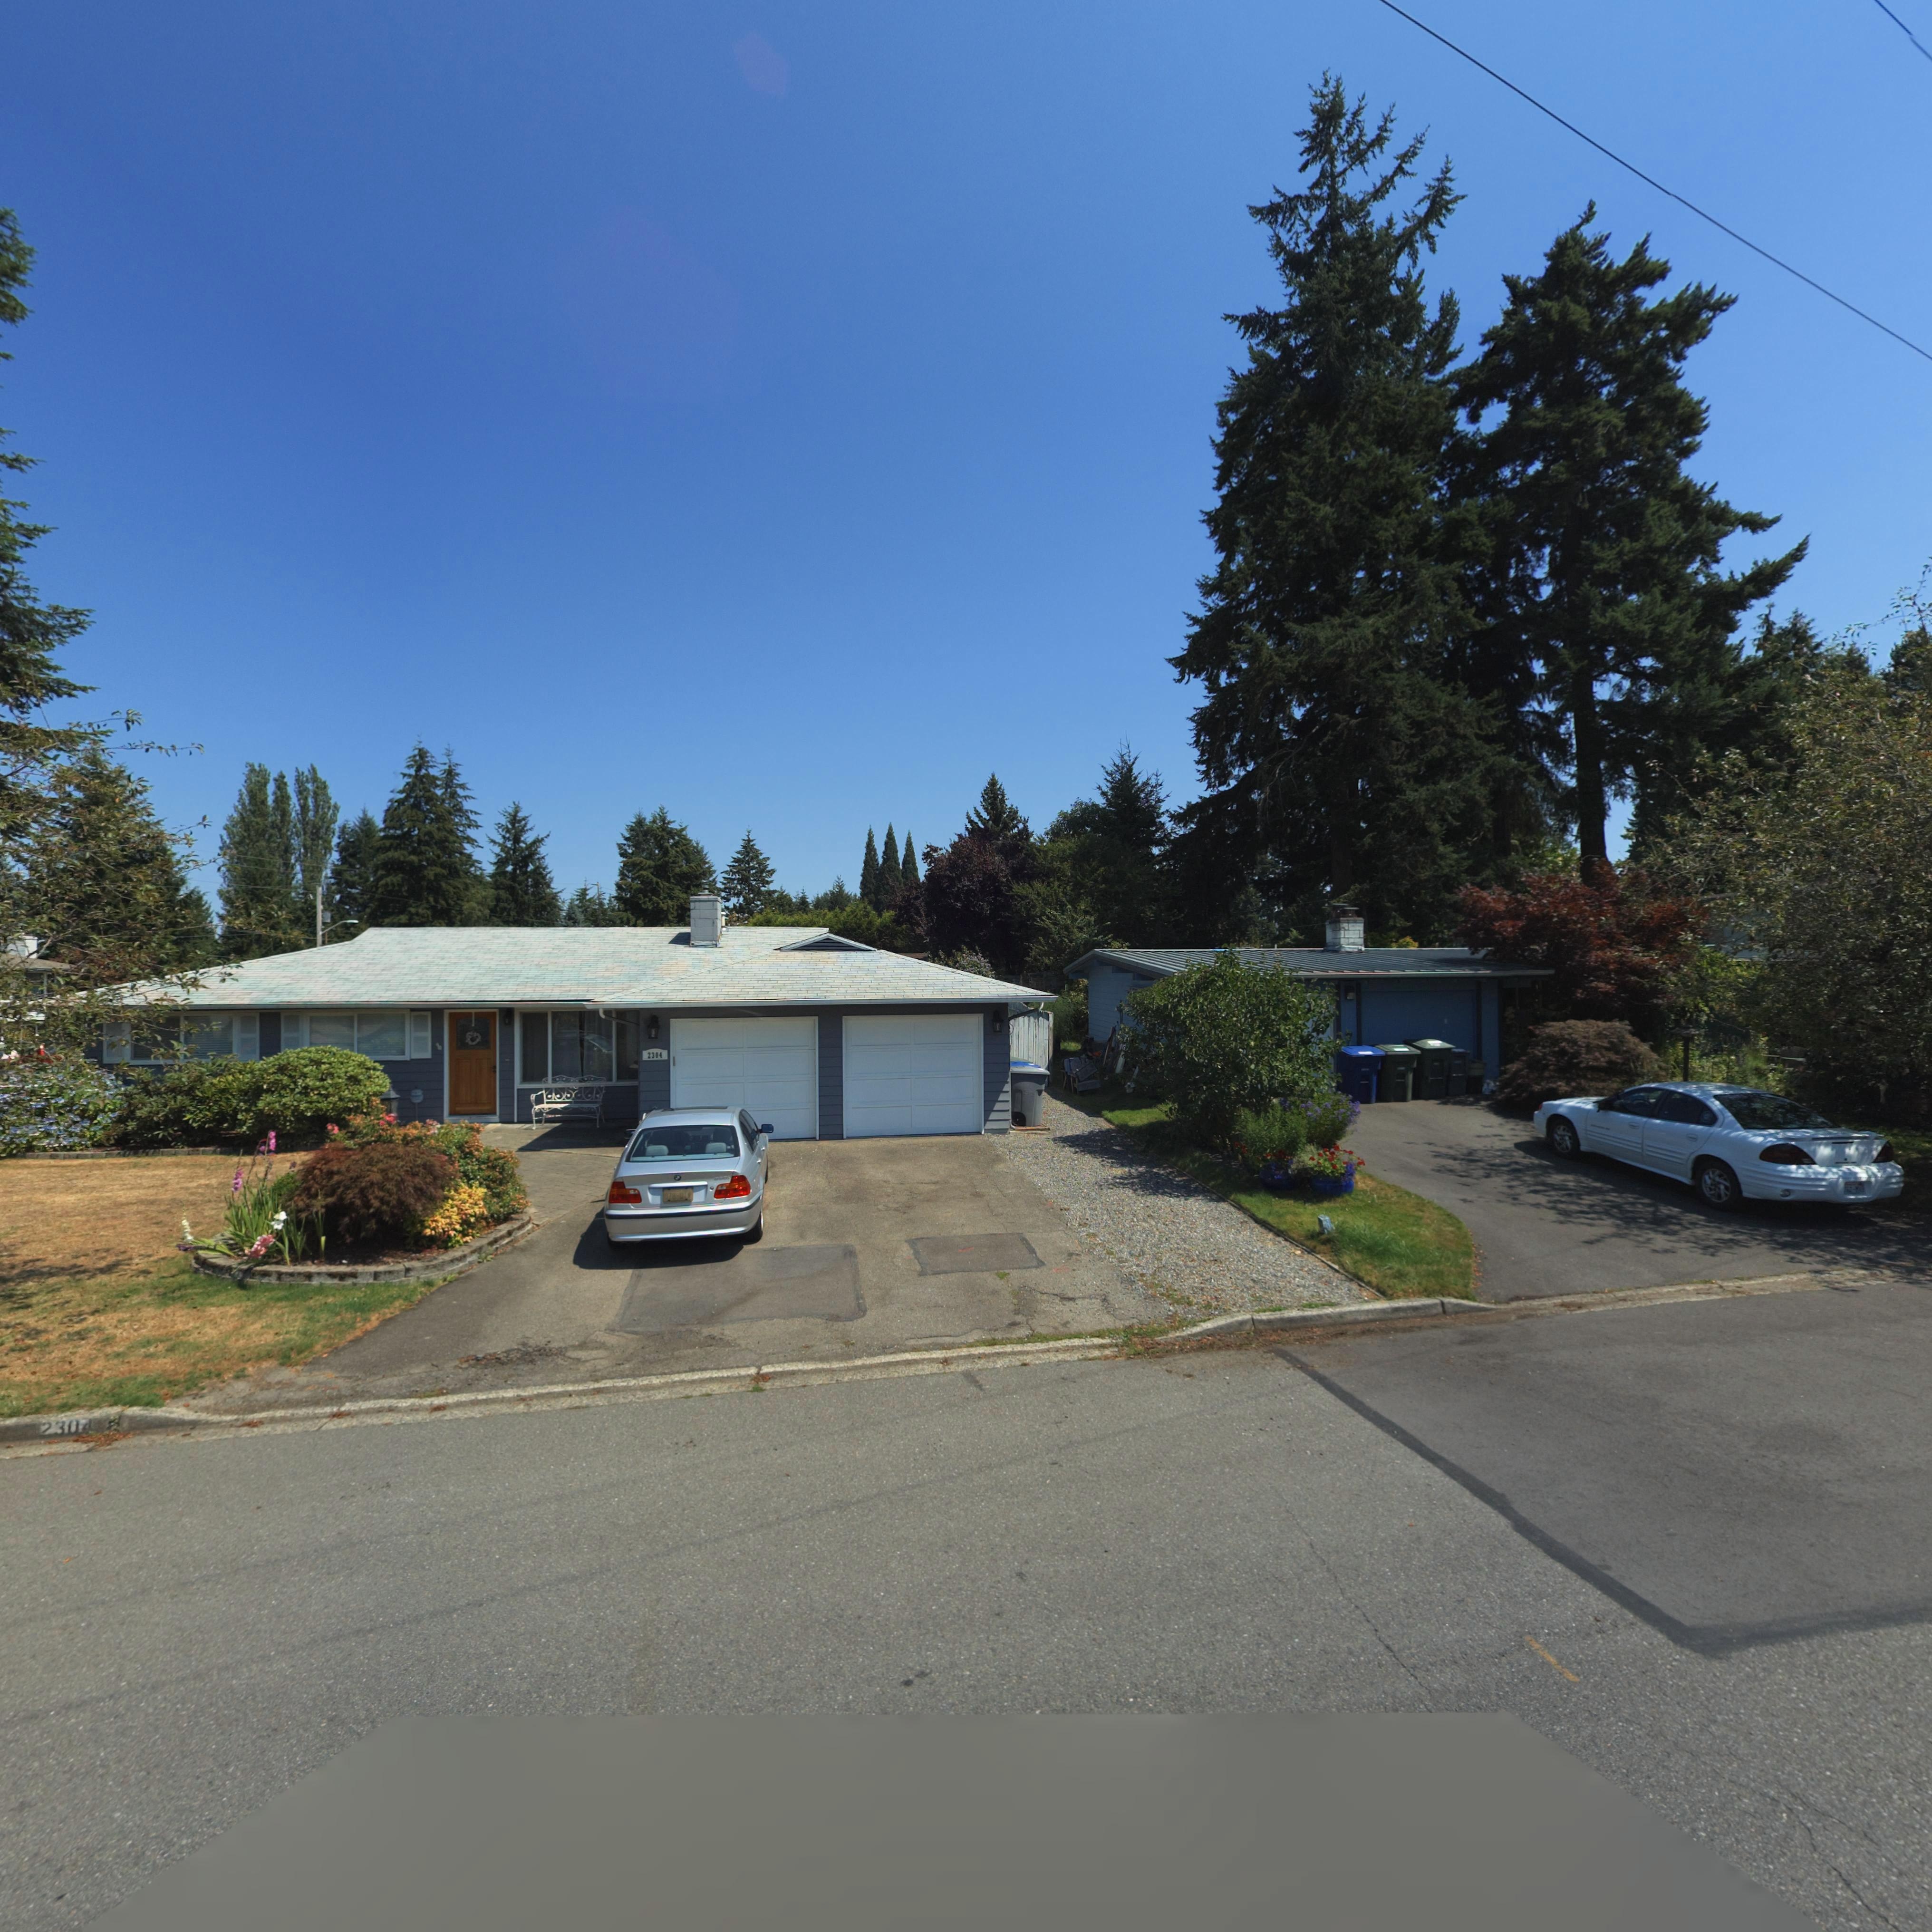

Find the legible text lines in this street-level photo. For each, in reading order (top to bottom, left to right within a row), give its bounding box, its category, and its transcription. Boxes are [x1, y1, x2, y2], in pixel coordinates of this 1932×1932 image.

[647, 1050, 662, 1061] StreetNumber: 2304